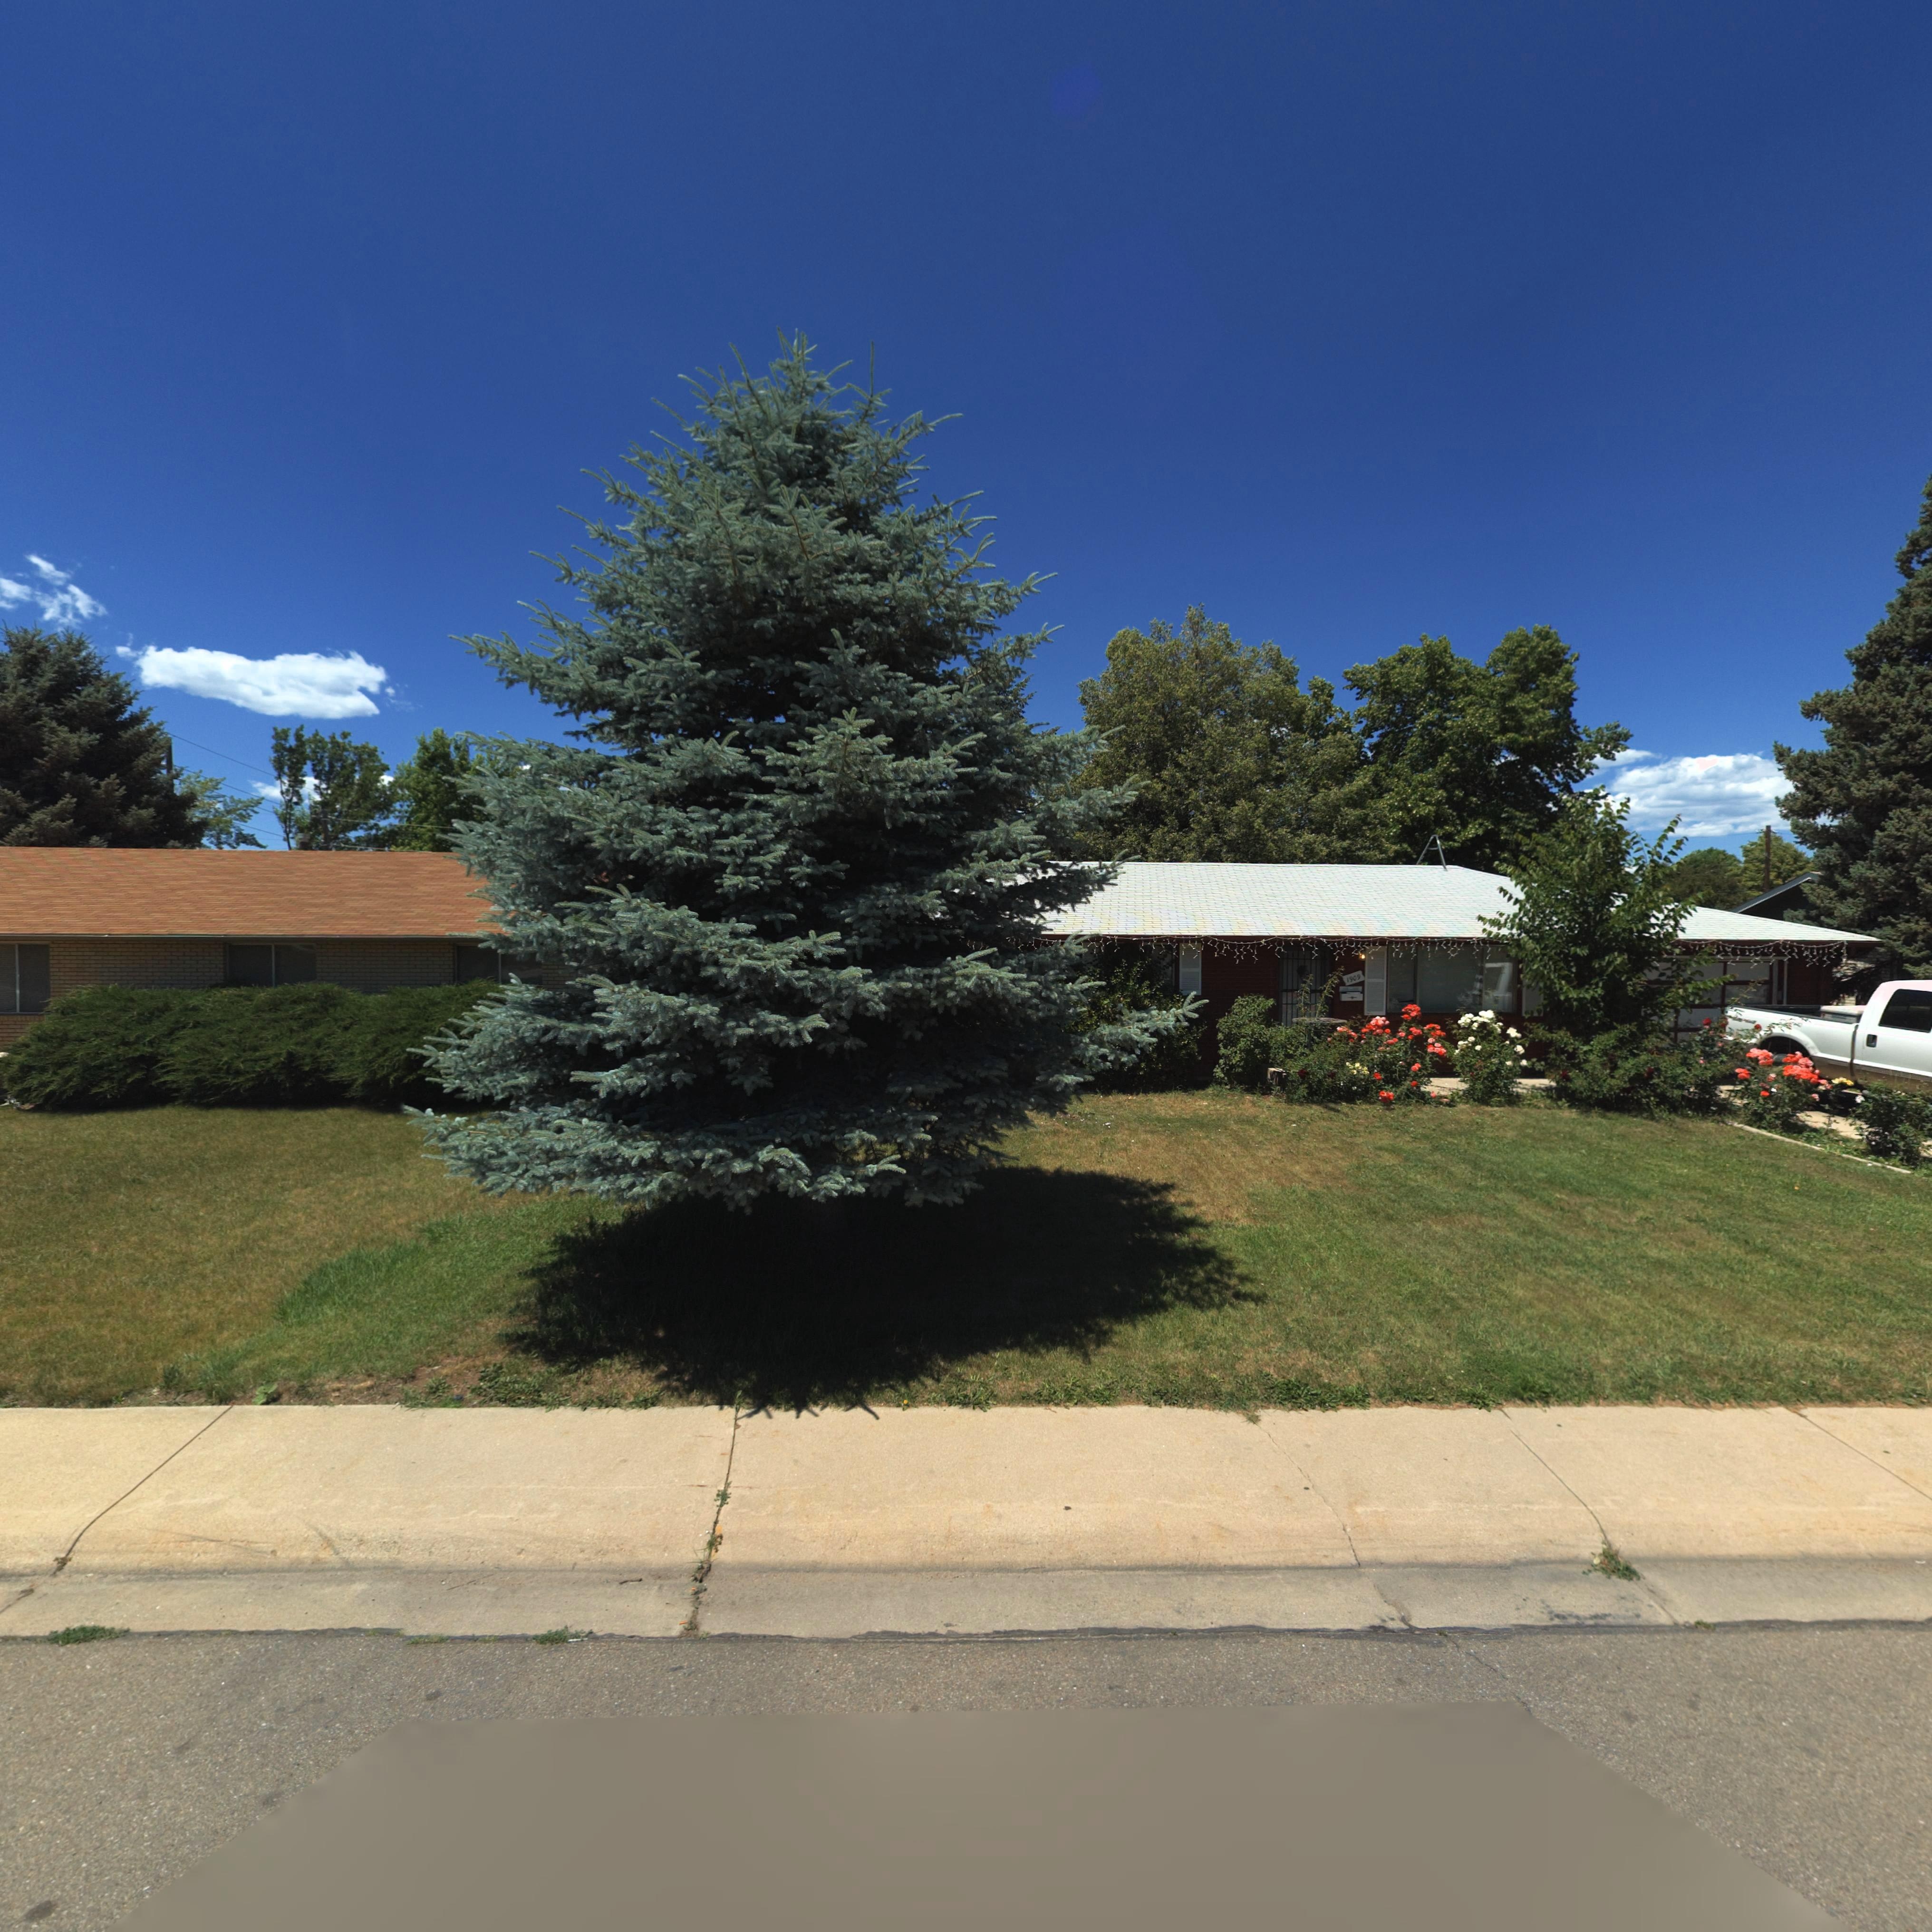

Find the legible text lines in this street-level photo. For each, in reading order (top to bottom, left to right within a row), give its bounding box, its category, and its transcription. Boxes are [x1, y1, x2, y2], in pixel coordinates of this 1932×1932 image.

[1346, 974, 1361, 983] StreetNumber: 1909